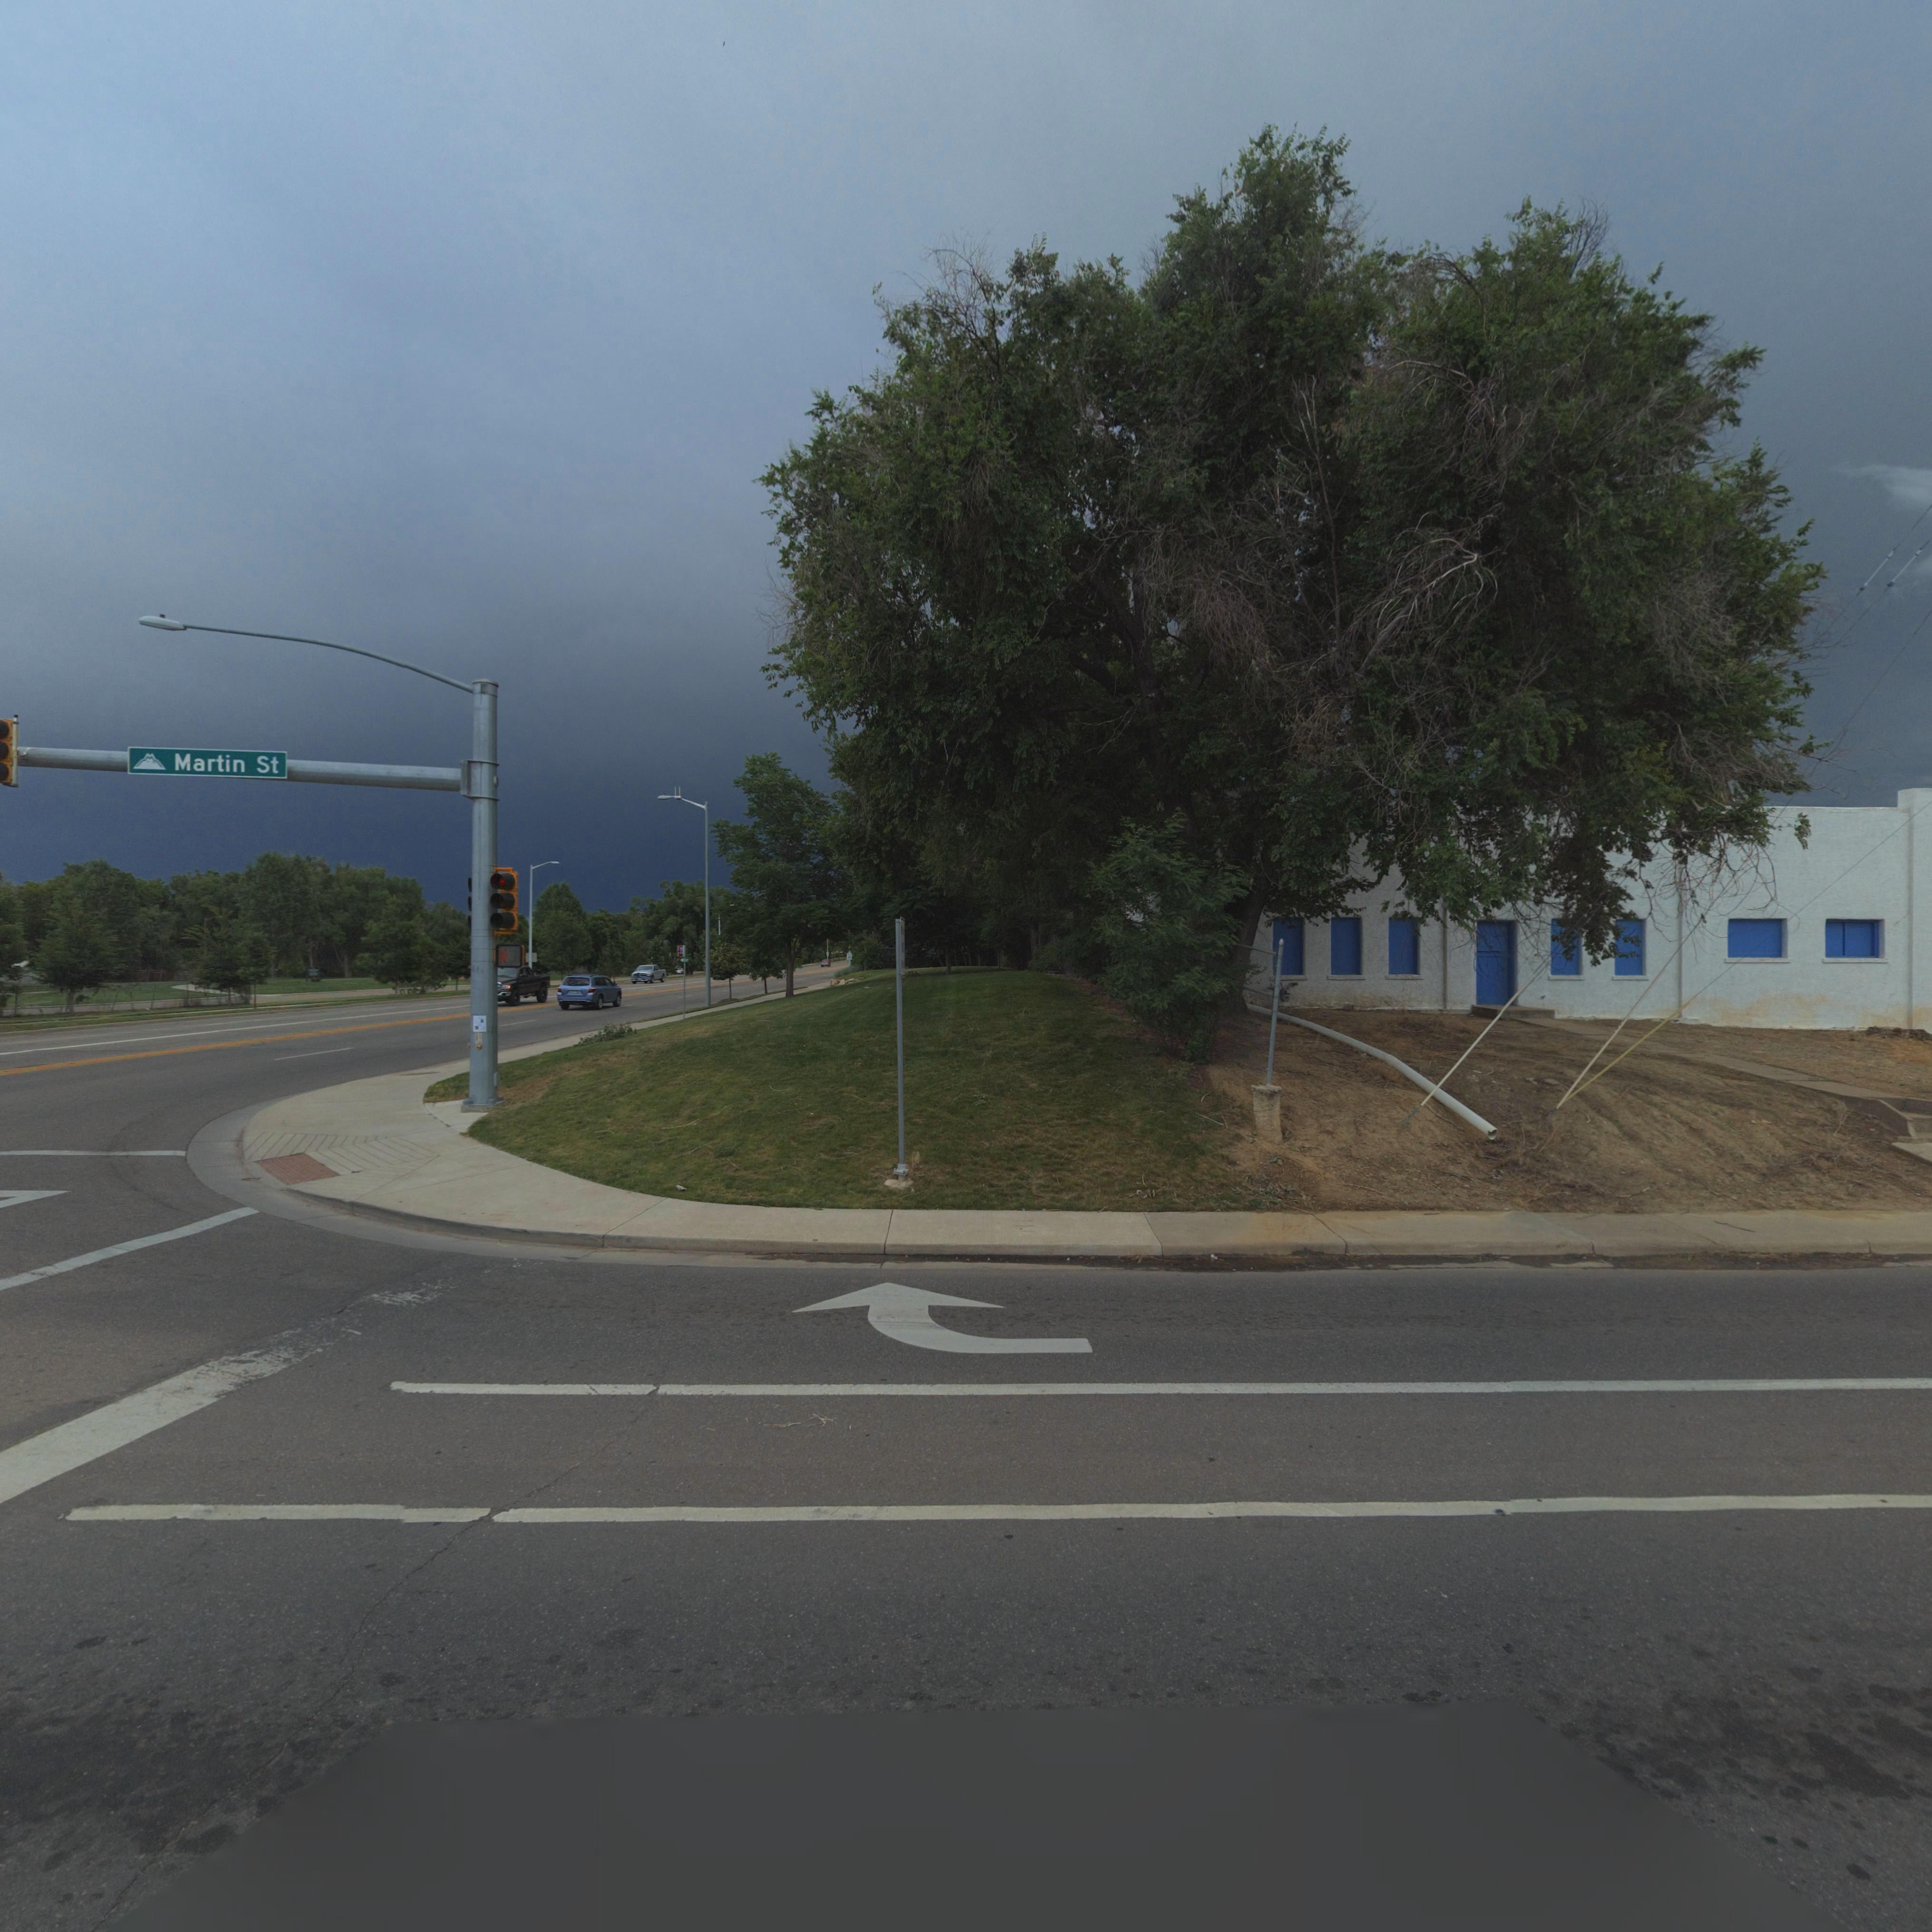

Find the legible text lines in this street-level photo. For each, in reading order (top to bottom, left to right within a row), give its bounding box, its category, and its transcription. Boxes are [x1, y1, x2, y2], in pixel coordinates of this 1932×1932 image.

[172, 752, 280, 774] StreetName: Martin St